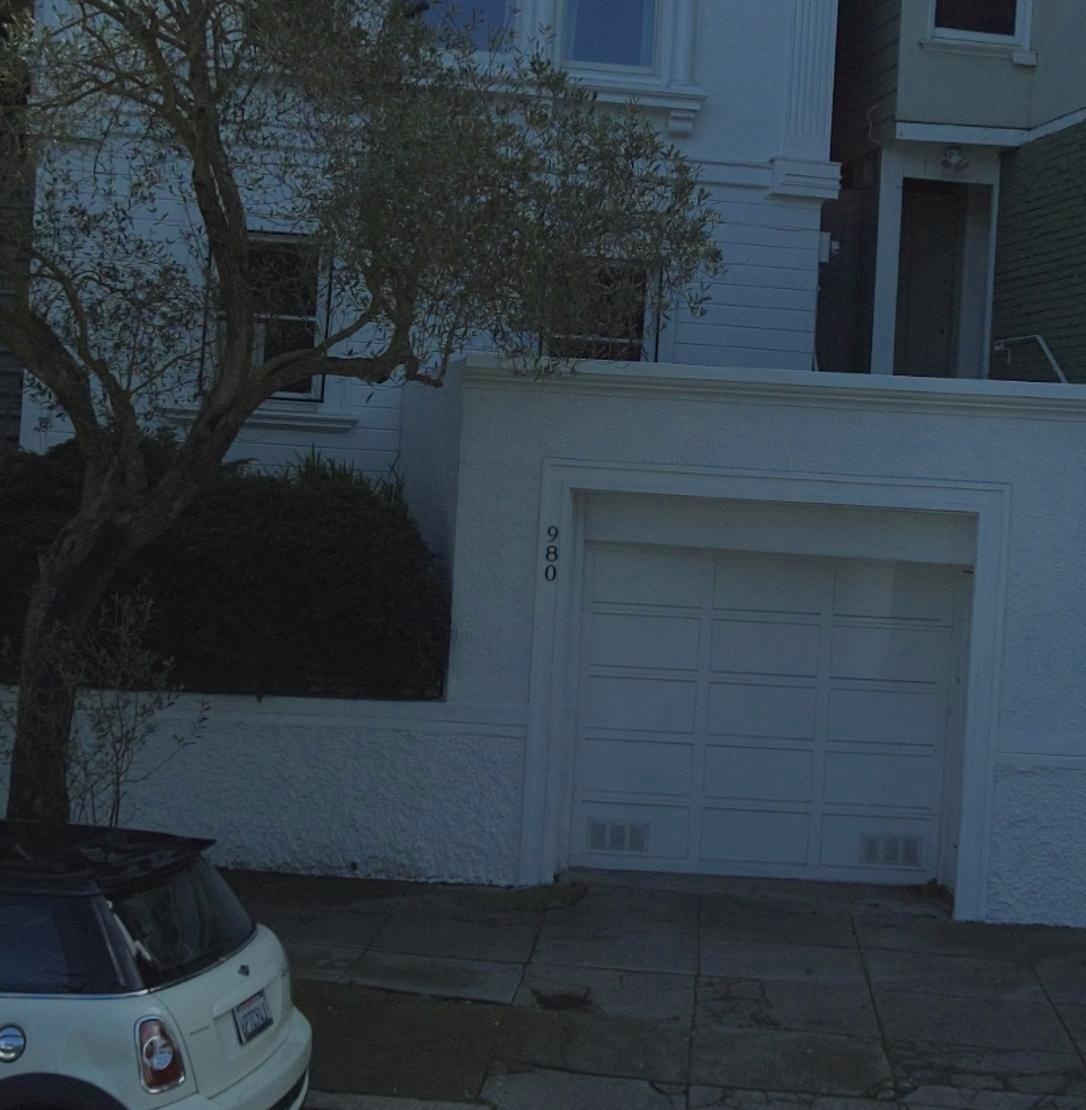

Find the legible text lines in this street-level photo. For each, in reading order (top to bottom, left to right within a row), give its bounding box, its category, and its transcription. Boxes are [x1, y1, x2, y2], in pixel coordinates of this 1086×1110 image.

[544, 523, 561, 584] StreetNumber: 980